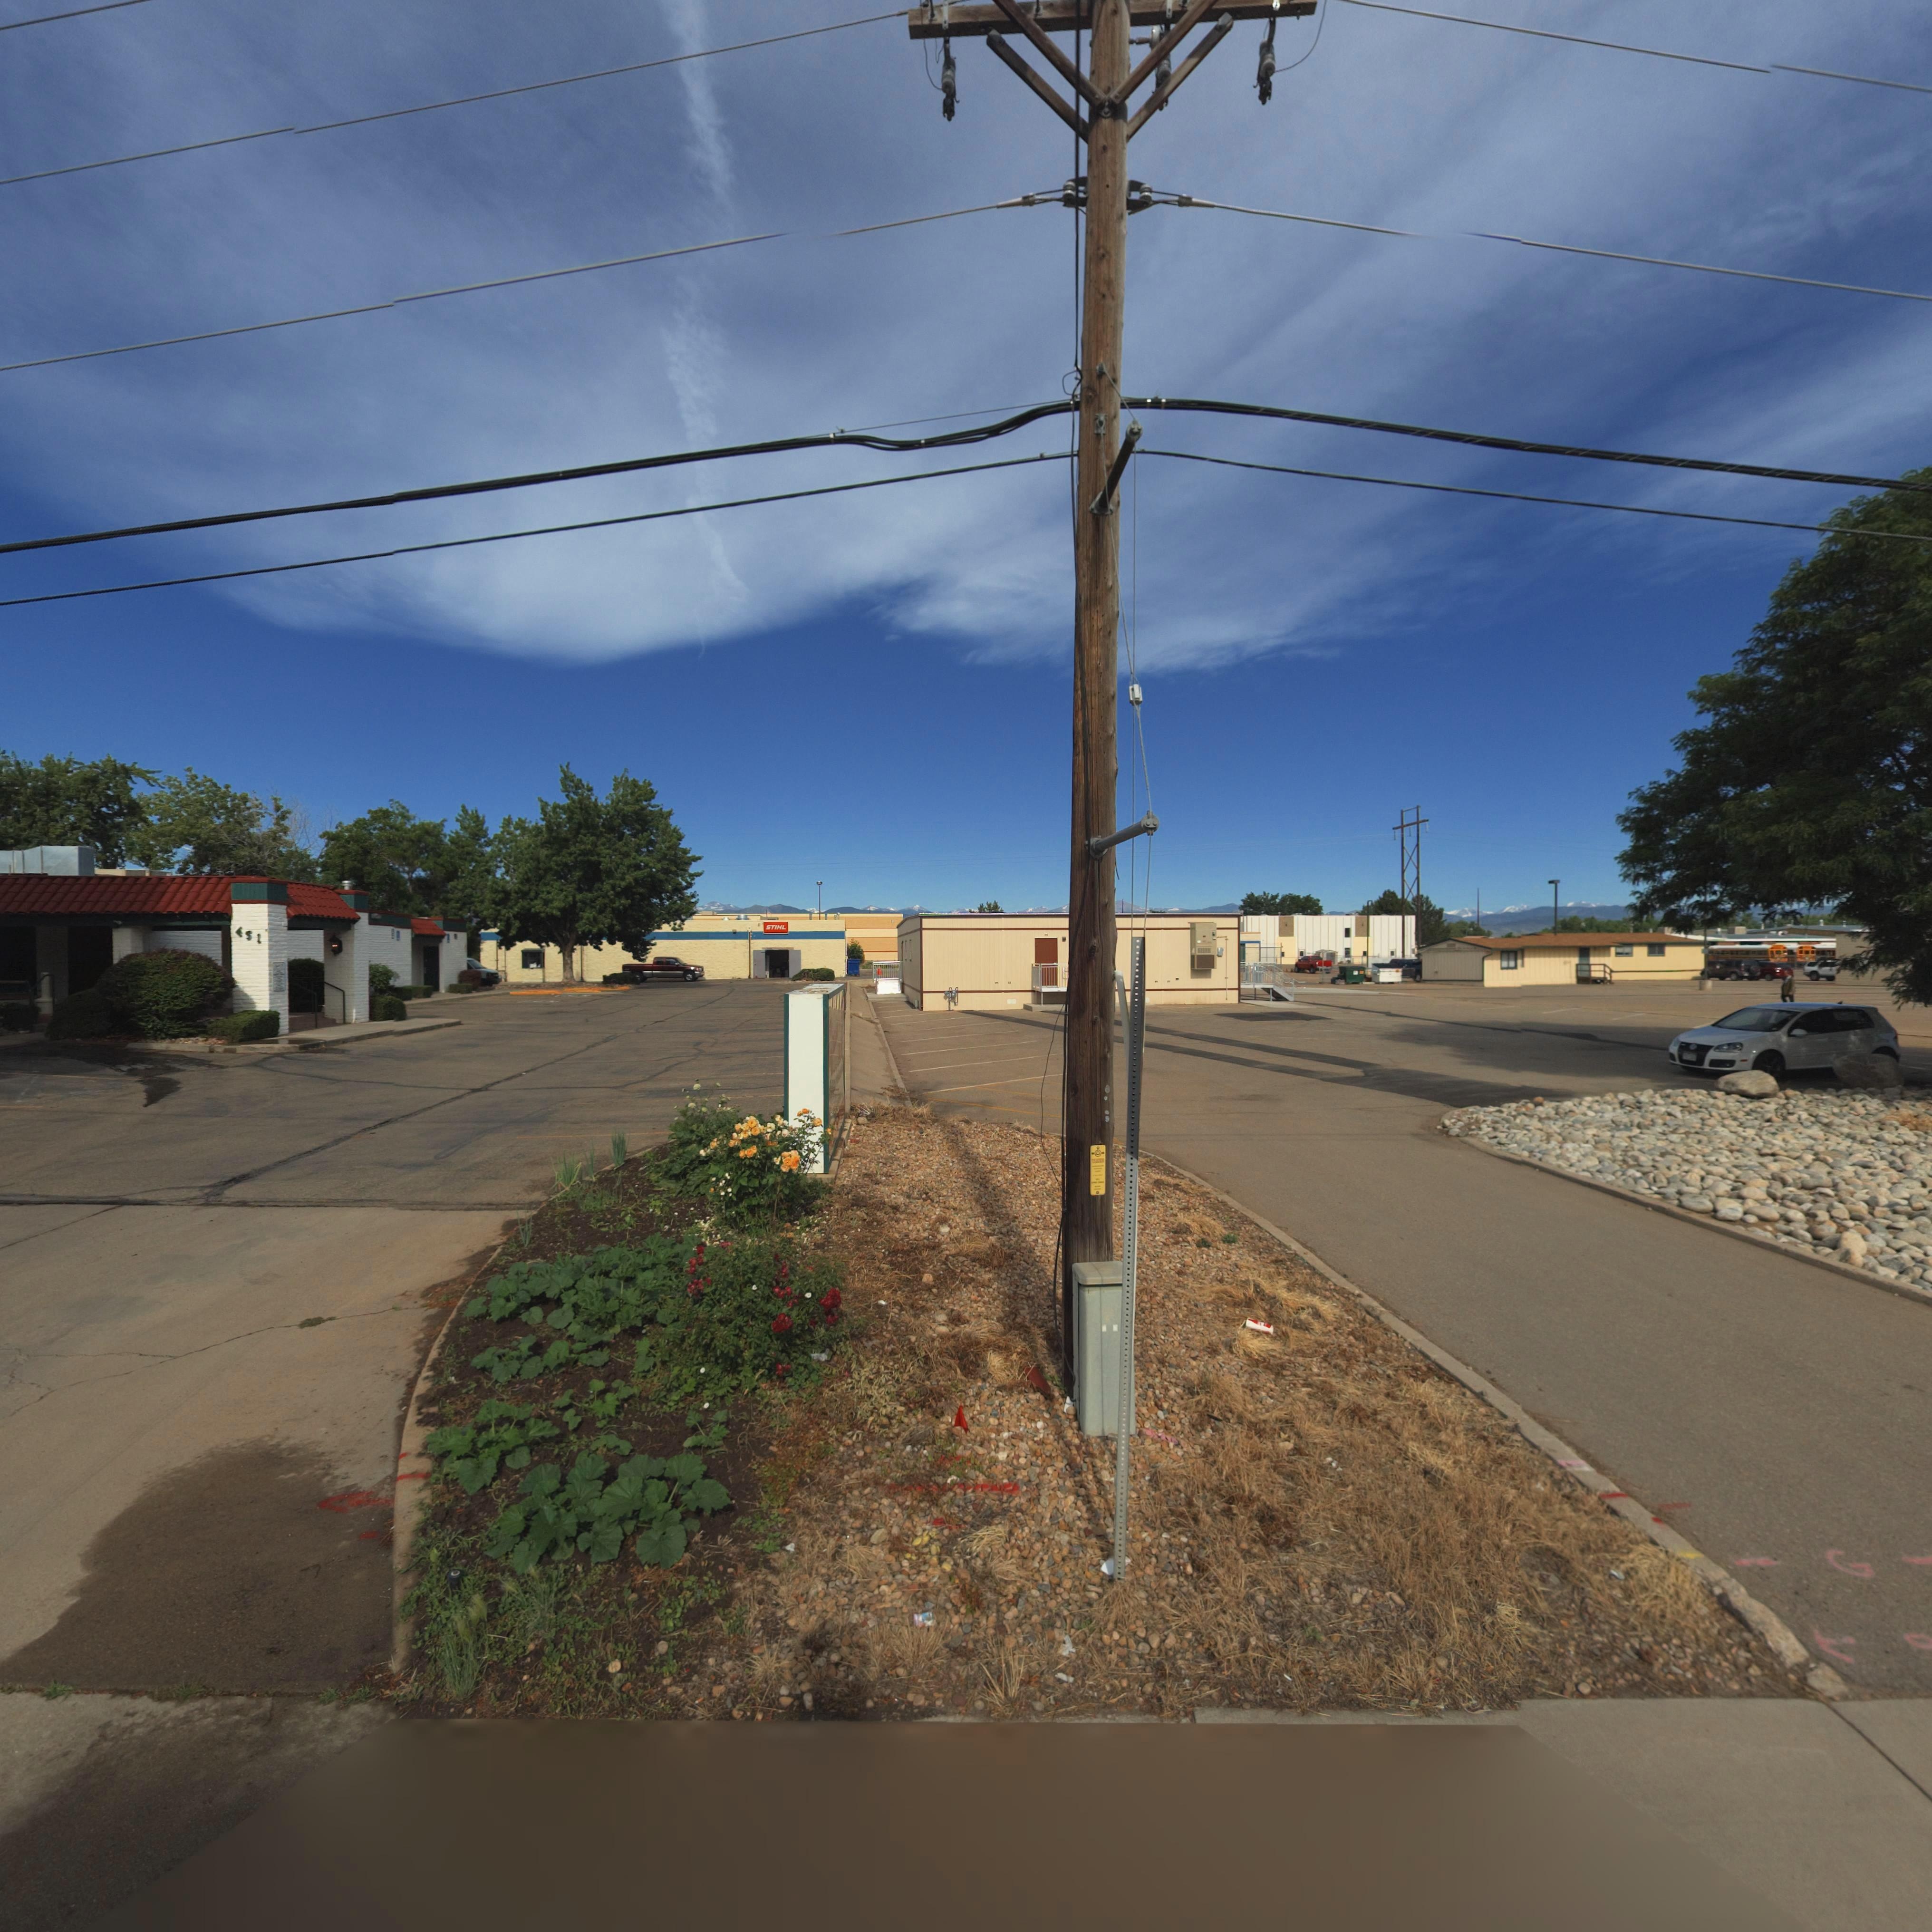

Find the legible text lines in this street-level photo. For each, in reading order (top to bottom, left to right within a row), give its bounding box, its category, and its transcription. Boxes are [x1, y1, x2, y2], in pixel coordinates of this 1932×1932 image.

[234, 925, 261, 945] StreetNumber: 451
[765, 924, 786, 929] BusinessName: STIHL